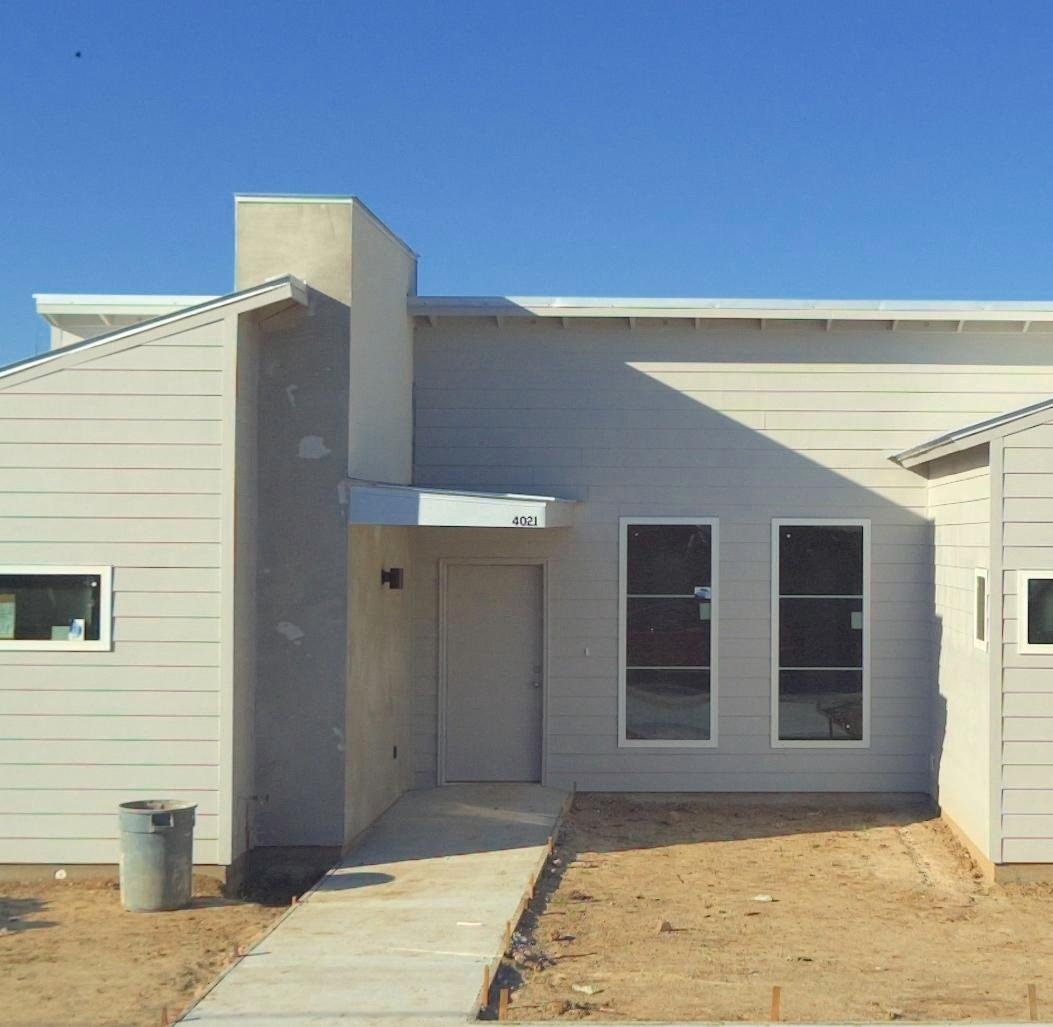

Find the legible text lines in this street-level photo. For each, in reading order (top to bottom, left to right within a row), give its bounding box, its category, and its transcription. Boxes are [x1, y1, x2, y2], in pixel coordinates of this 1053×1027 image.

[510, 514, 540, 529] StreetNumber: 4021